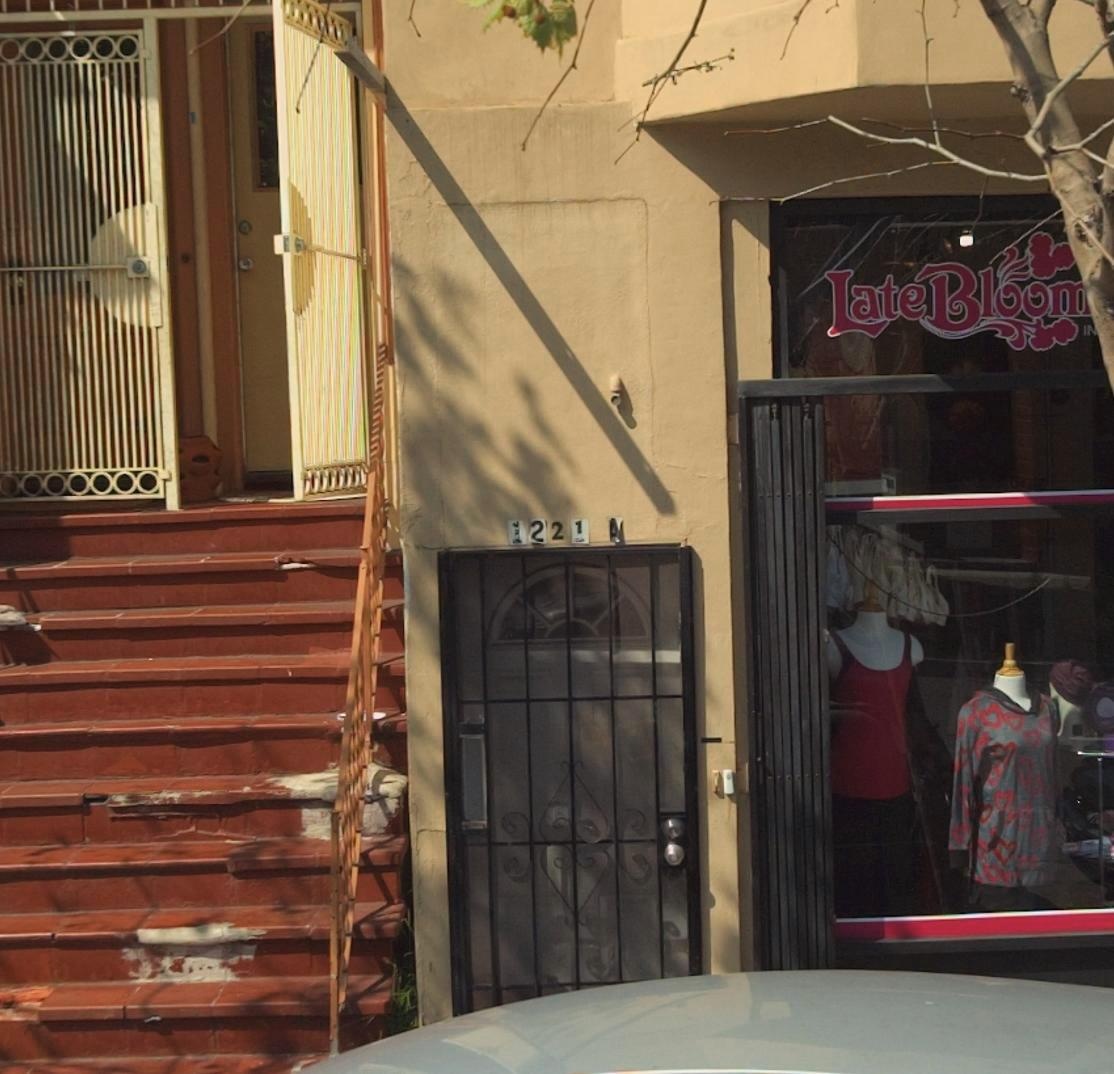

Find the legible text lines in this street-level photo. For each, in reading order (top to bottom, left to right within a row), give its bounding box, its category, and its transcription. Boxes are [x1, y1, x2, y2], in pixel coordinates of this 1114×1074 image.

[818, 261, 1094, 345] BusinessName: Late Bloom
[508, 517, 589, 546] StreetNumber: 1221